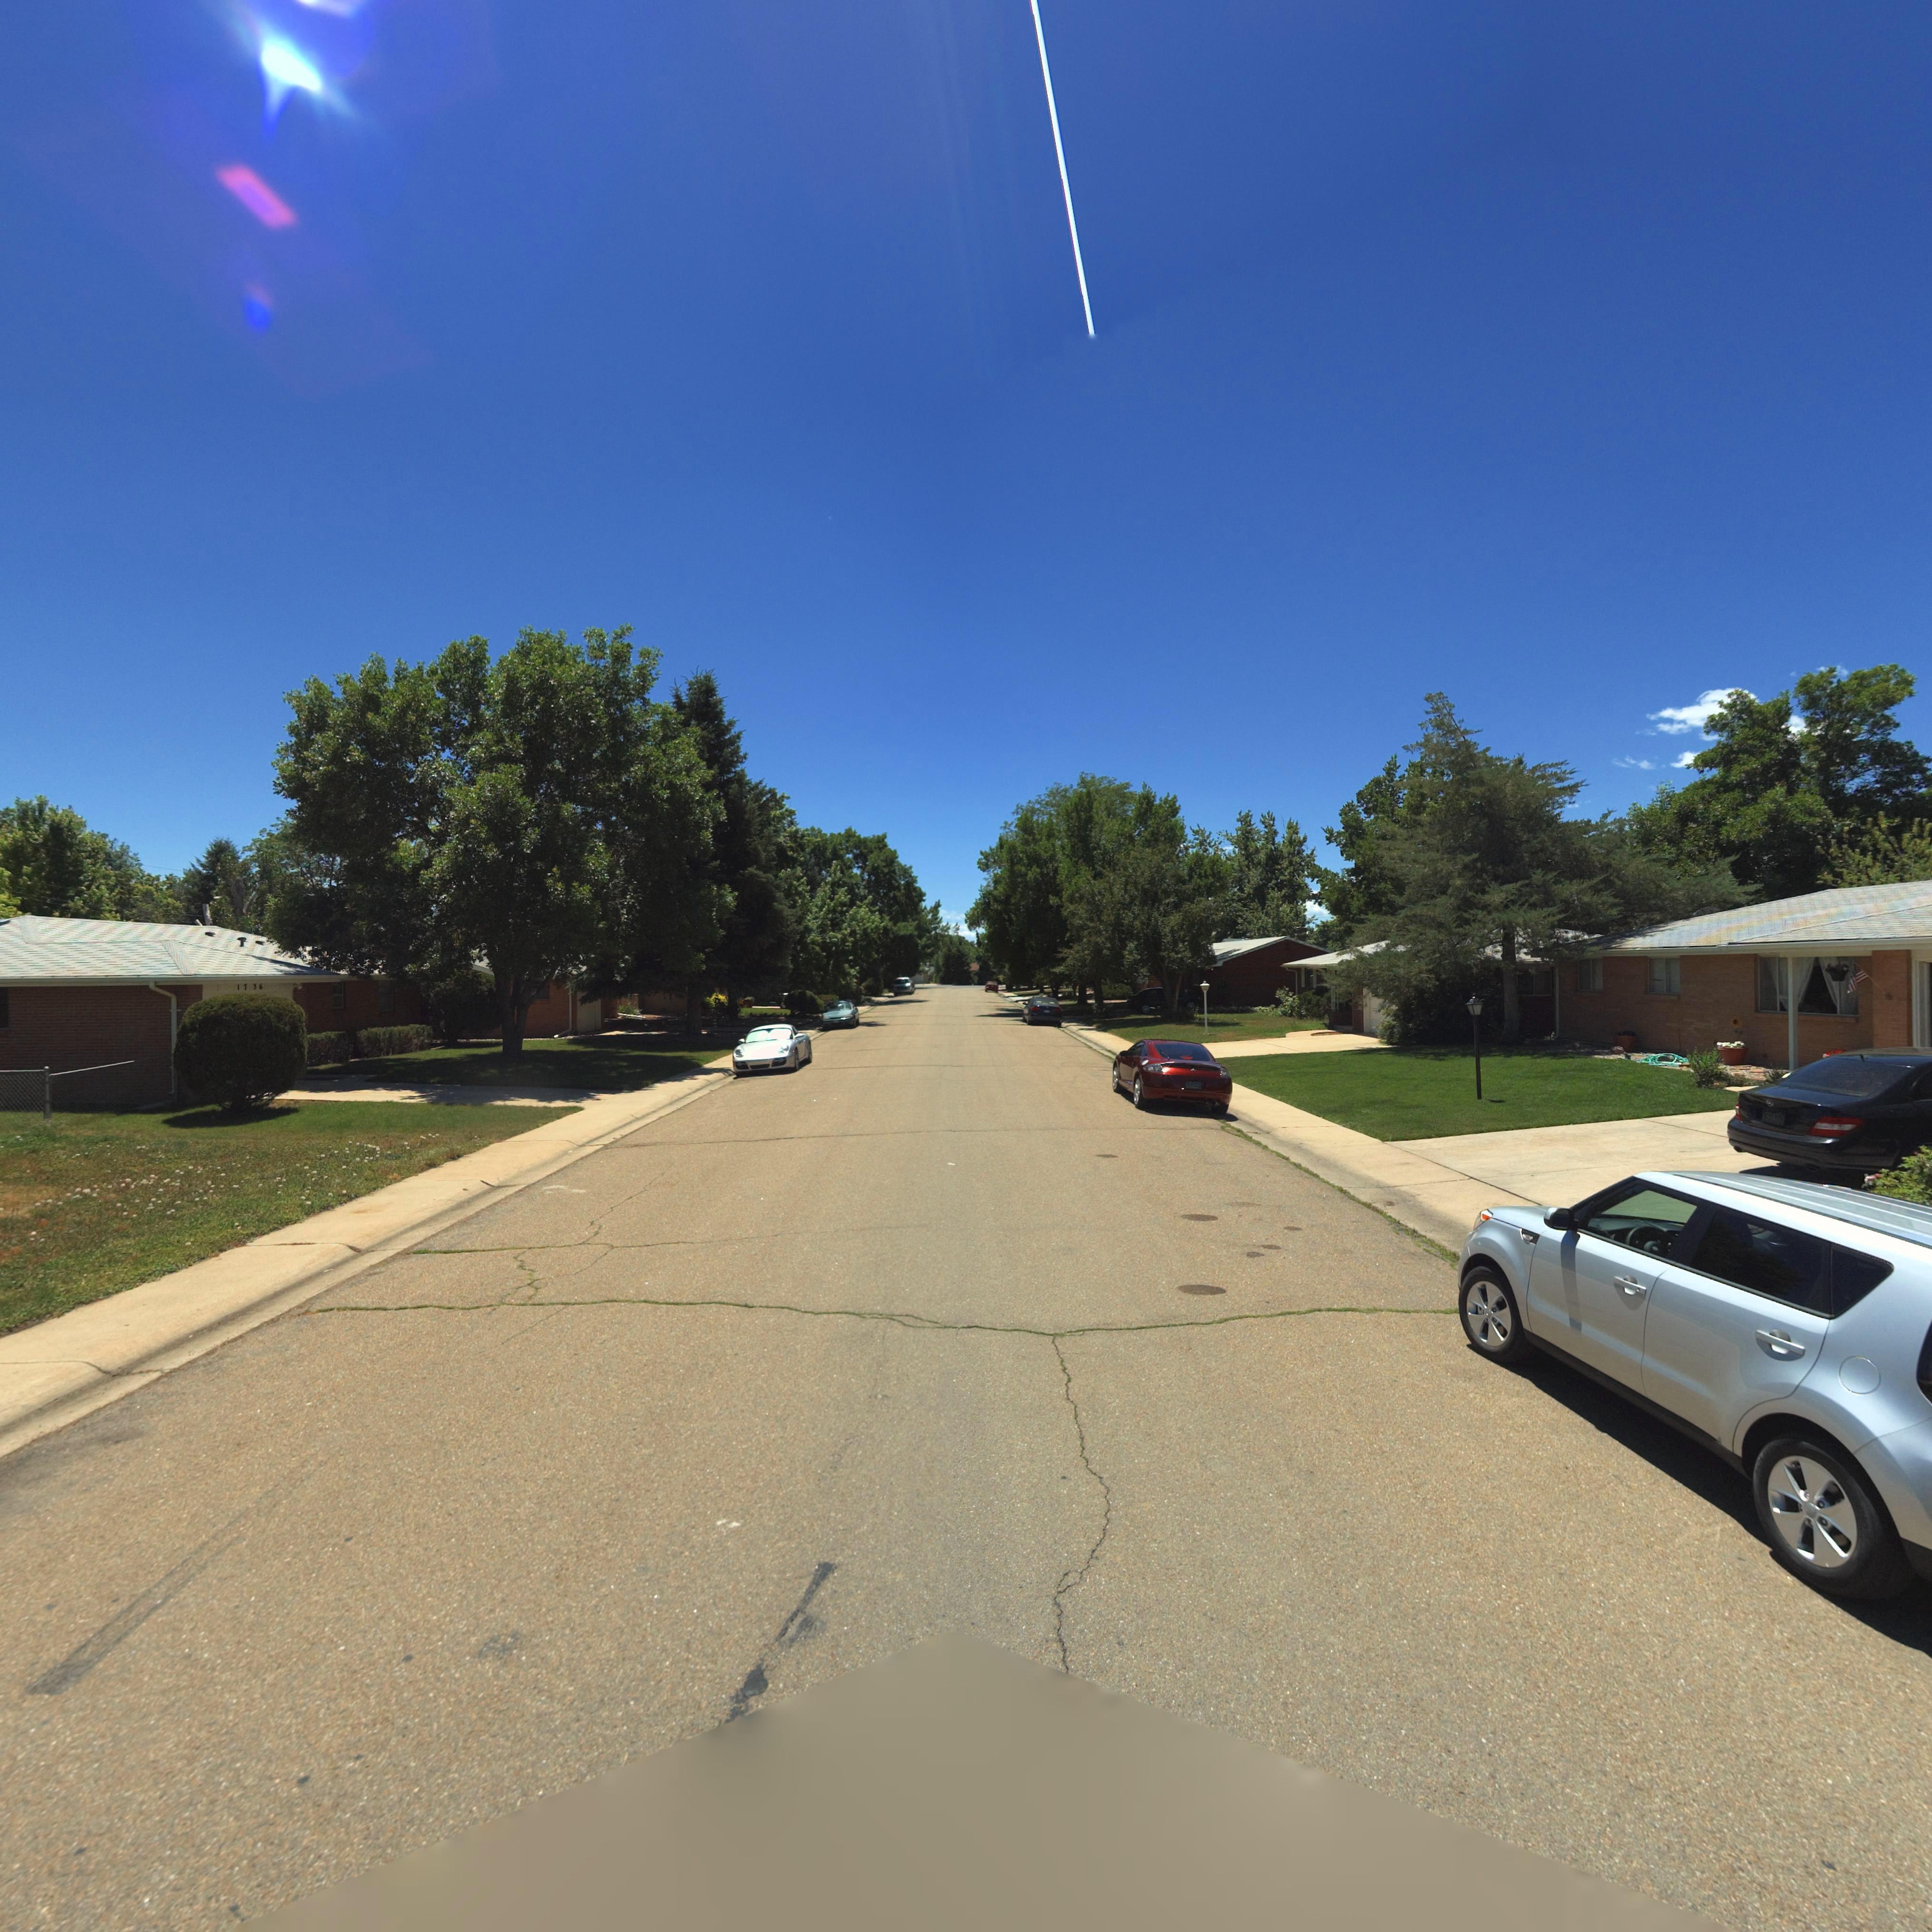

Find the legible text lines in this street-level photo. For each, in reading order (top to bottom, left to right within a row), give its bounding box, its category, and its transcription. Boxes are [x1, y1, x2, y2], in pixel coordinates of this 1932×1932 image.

[237, 983, 263, 990] StreetNumber: 1736